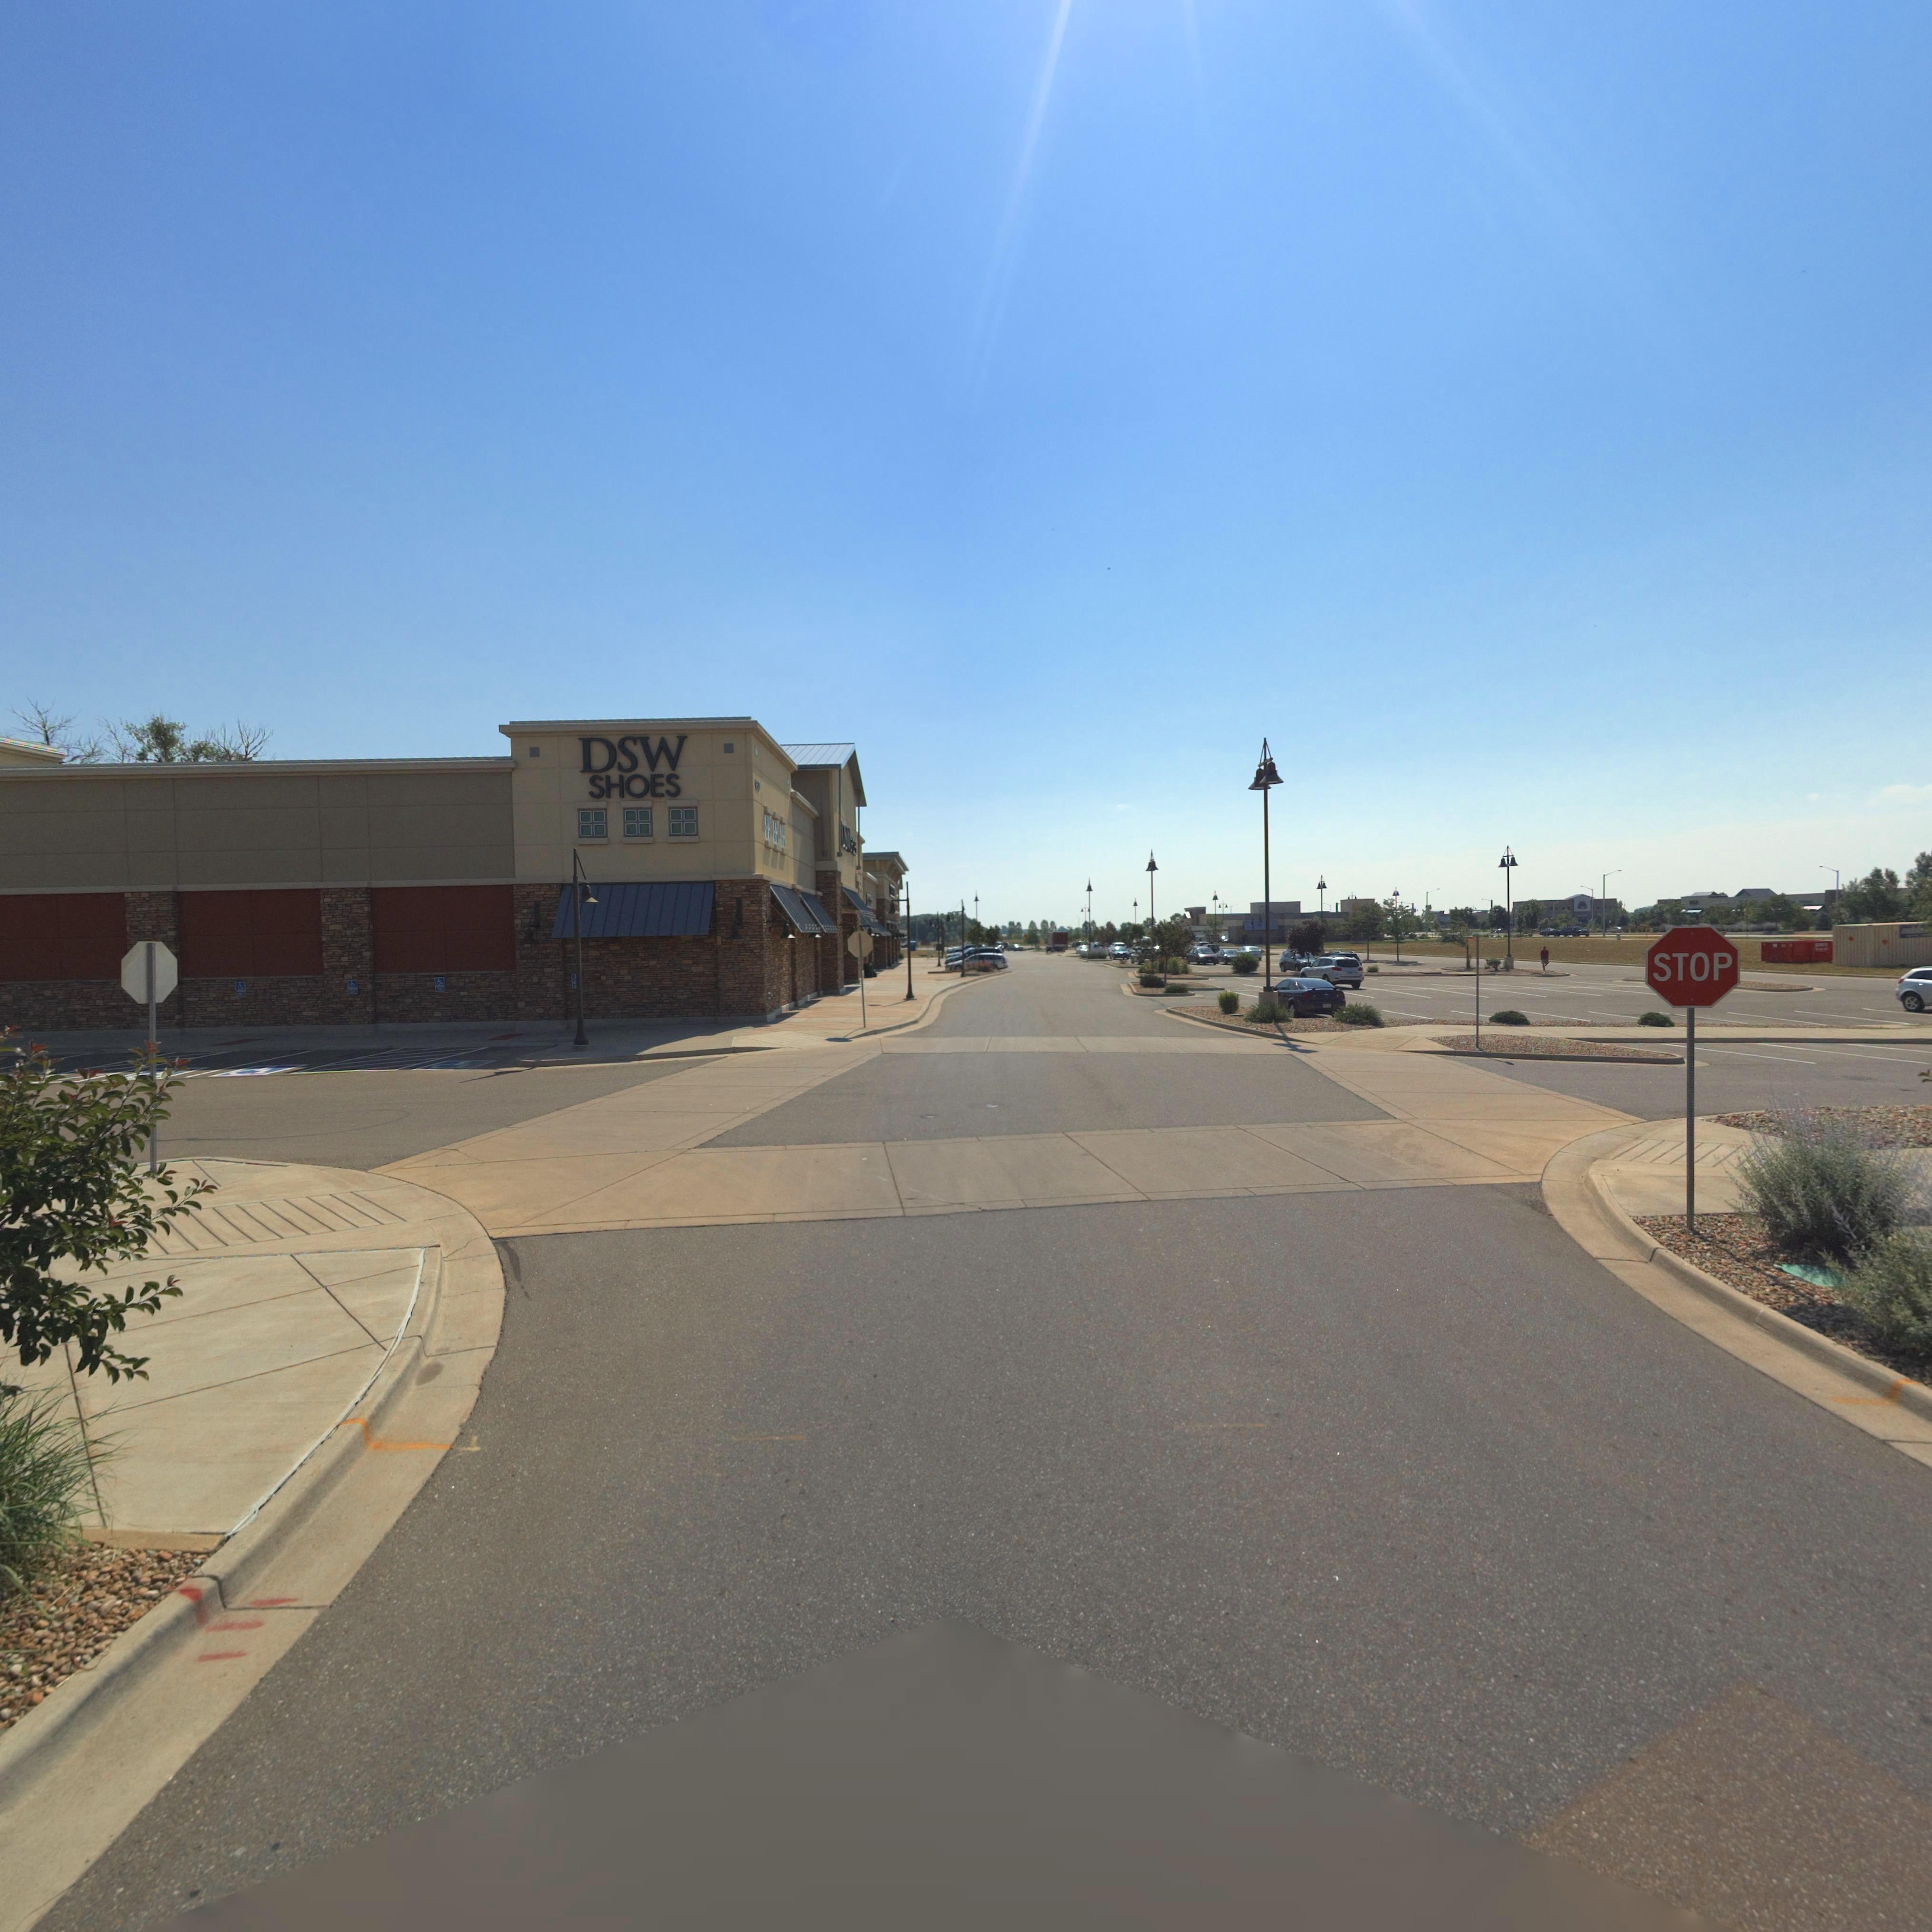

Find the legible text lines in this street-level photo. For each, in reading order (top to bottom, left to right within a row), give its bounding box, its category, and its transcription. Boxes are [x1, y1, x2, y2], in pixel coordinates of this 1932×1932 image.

[578, 734, 688, 773] BusinessName: DSW
[588, 773, 682, 799] BusinessName: SHOES